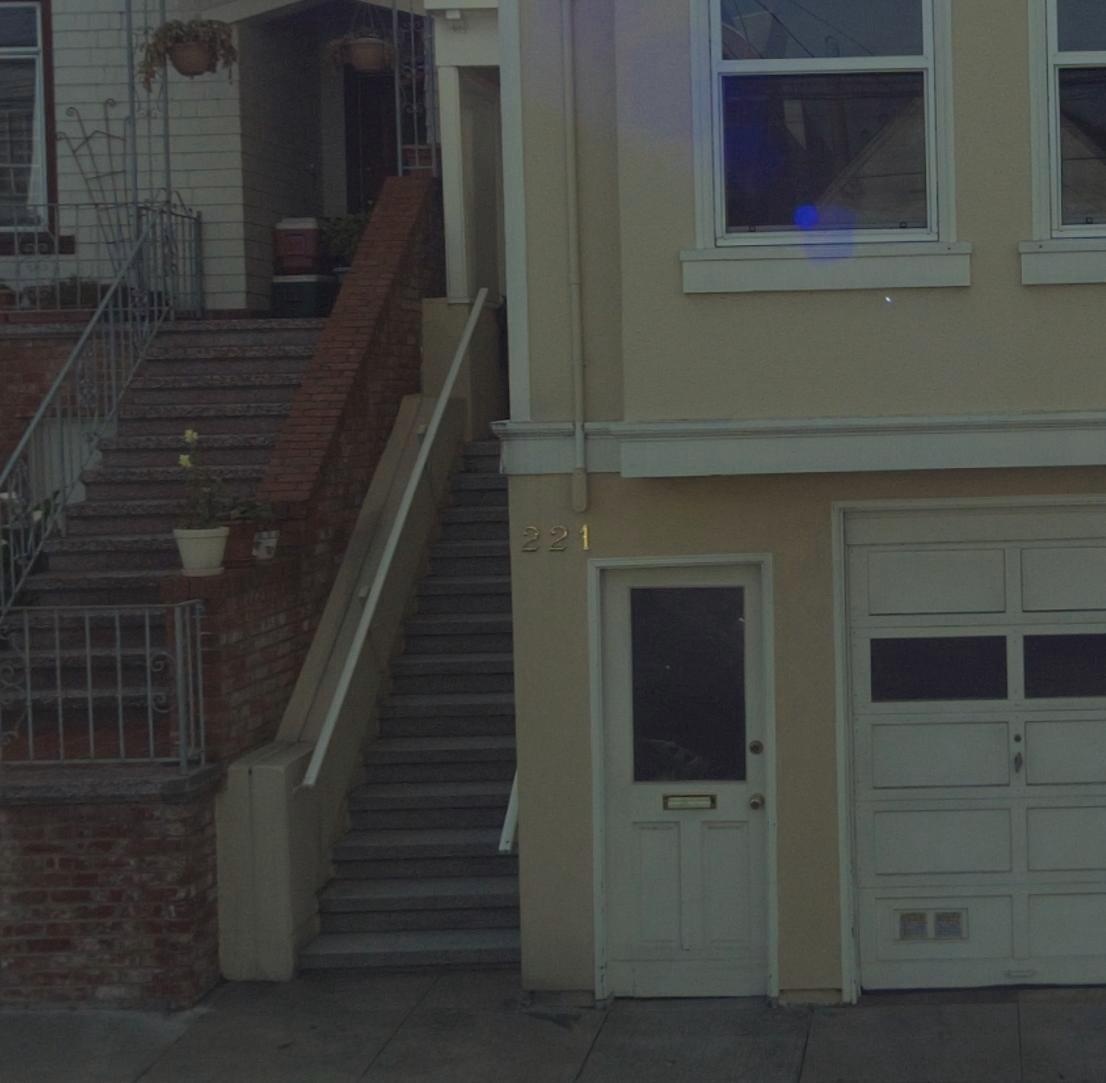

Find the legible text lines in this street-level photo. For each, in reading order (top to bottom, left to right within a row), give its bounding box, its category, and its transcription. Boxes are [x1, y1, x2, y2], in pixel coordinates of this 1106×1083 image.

[519, 523, 592, 553] StreetNumber: 221